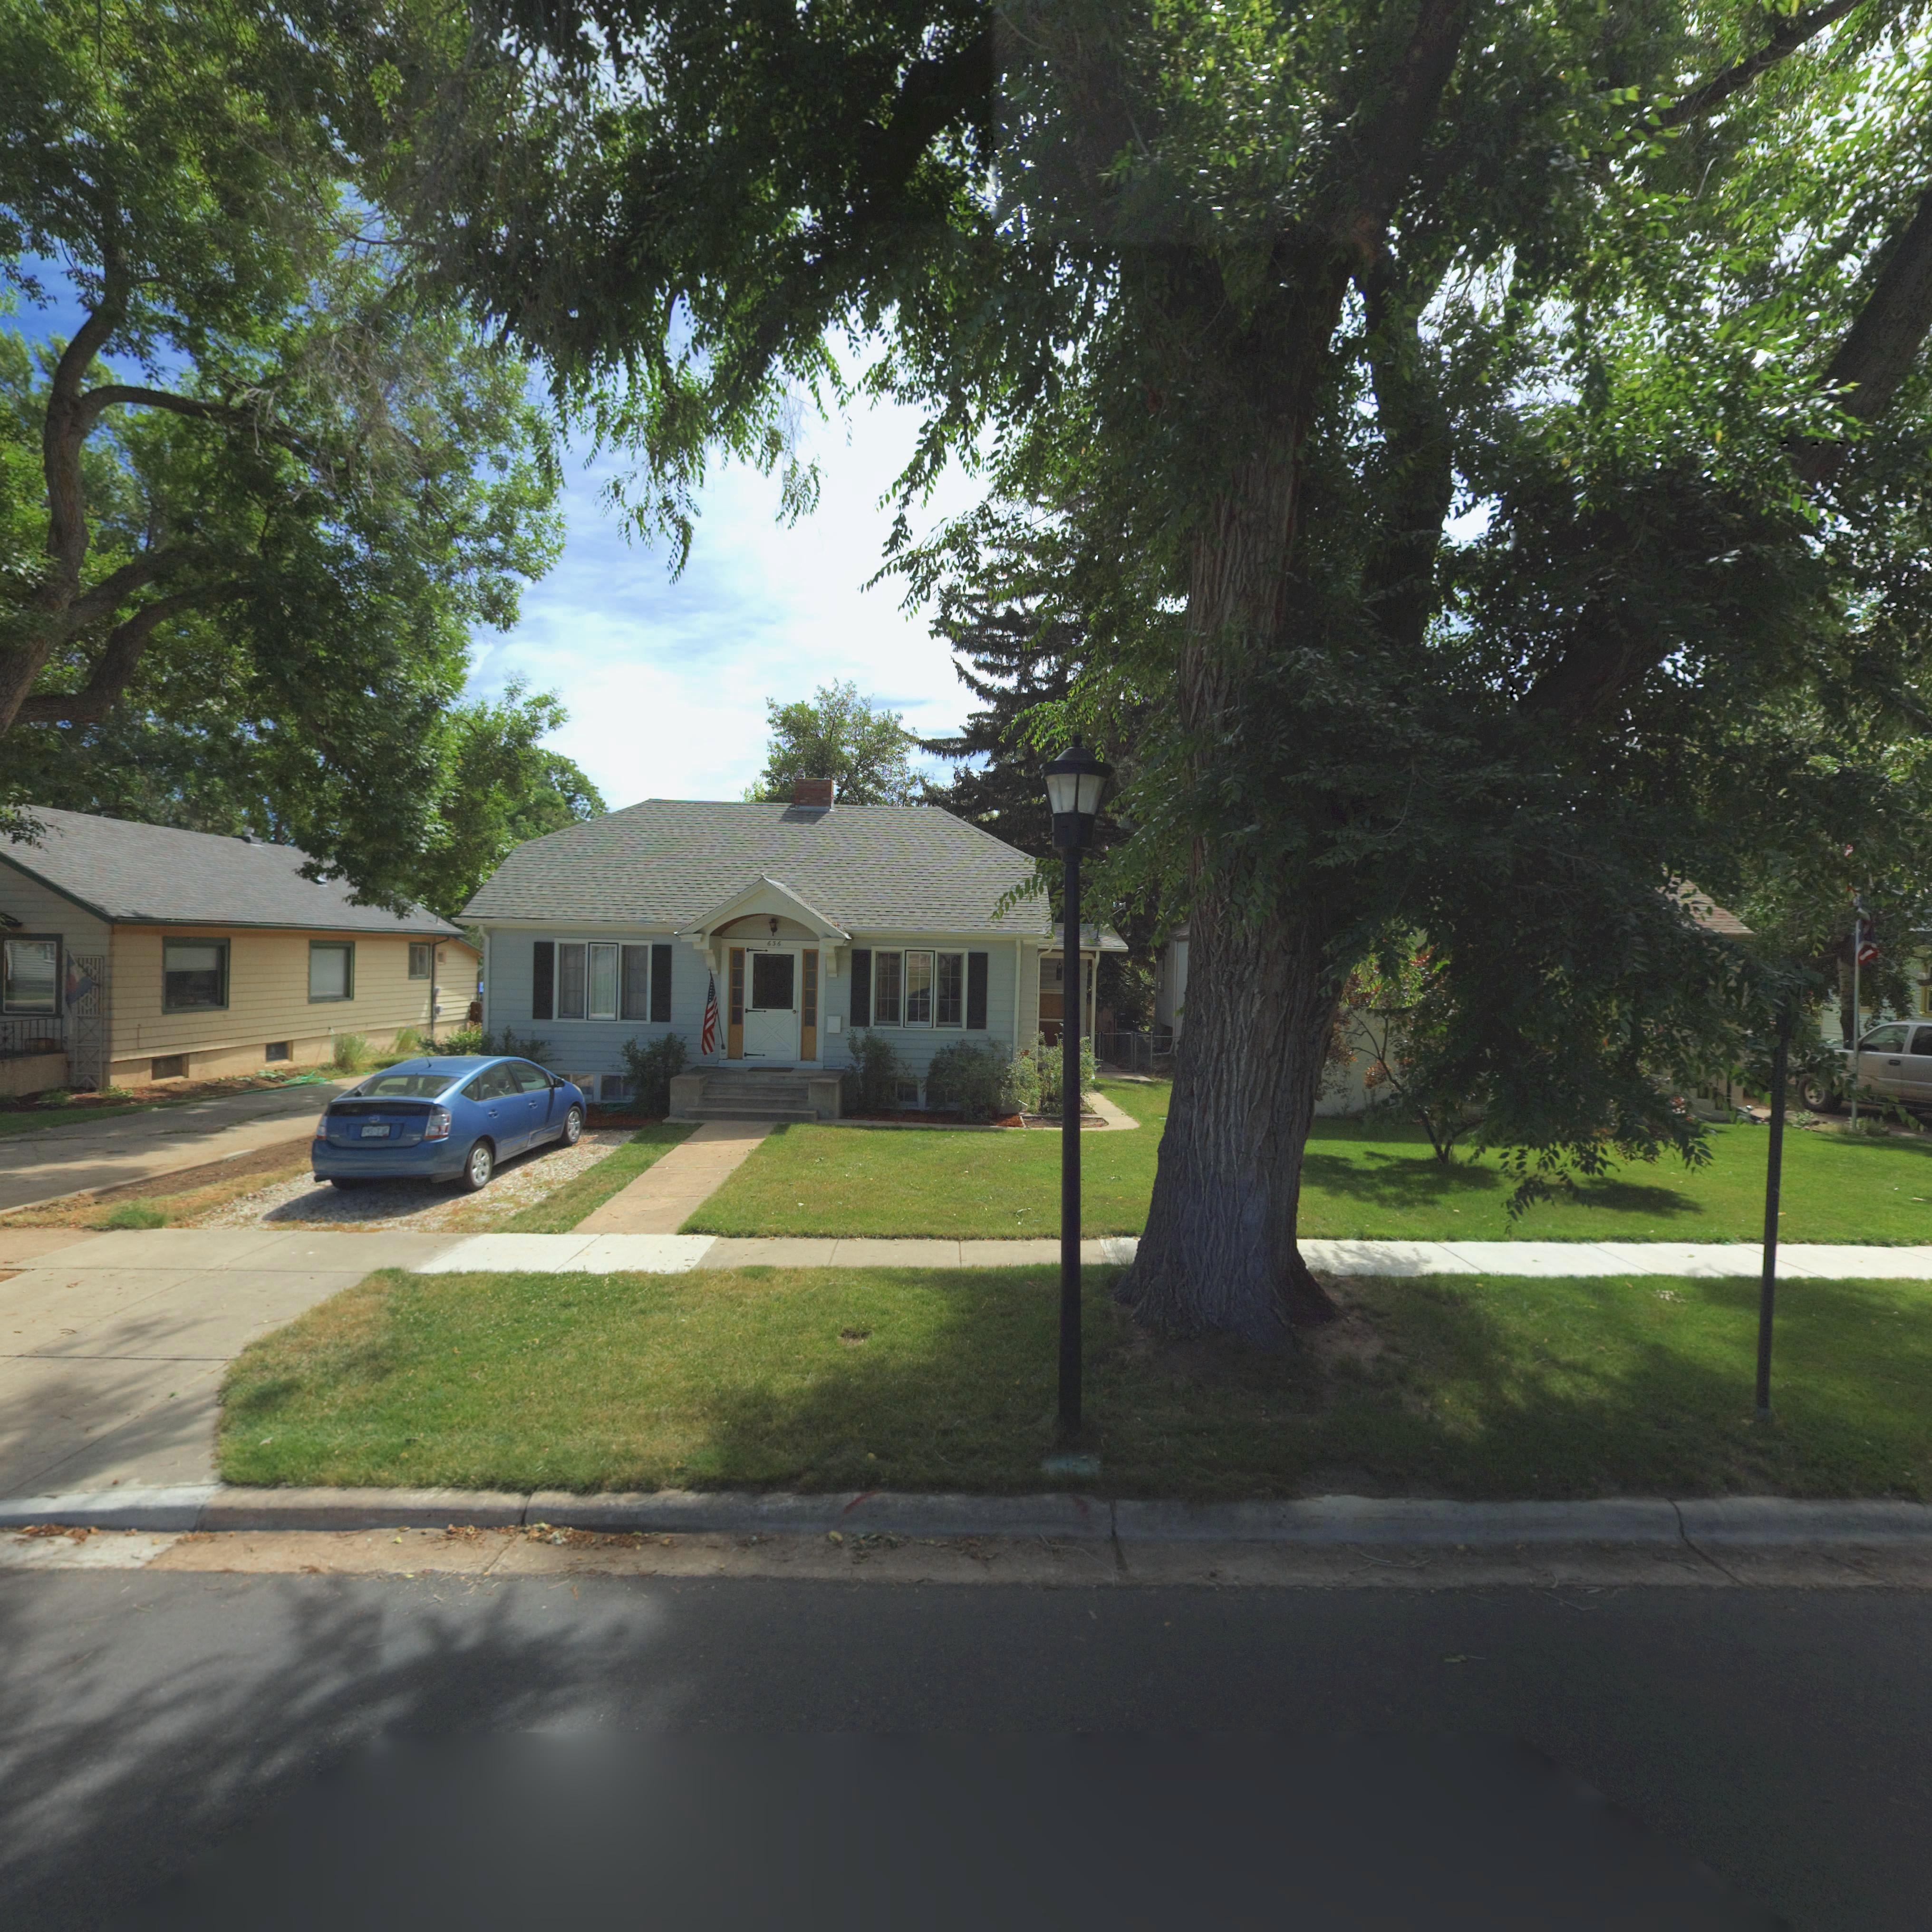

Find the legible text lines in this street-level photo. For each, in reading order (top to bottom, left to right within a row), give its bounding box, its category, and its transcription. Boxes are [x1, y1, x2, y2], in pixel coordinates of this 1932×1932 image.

[766, 940, 782, 947] StreetNumber: 636